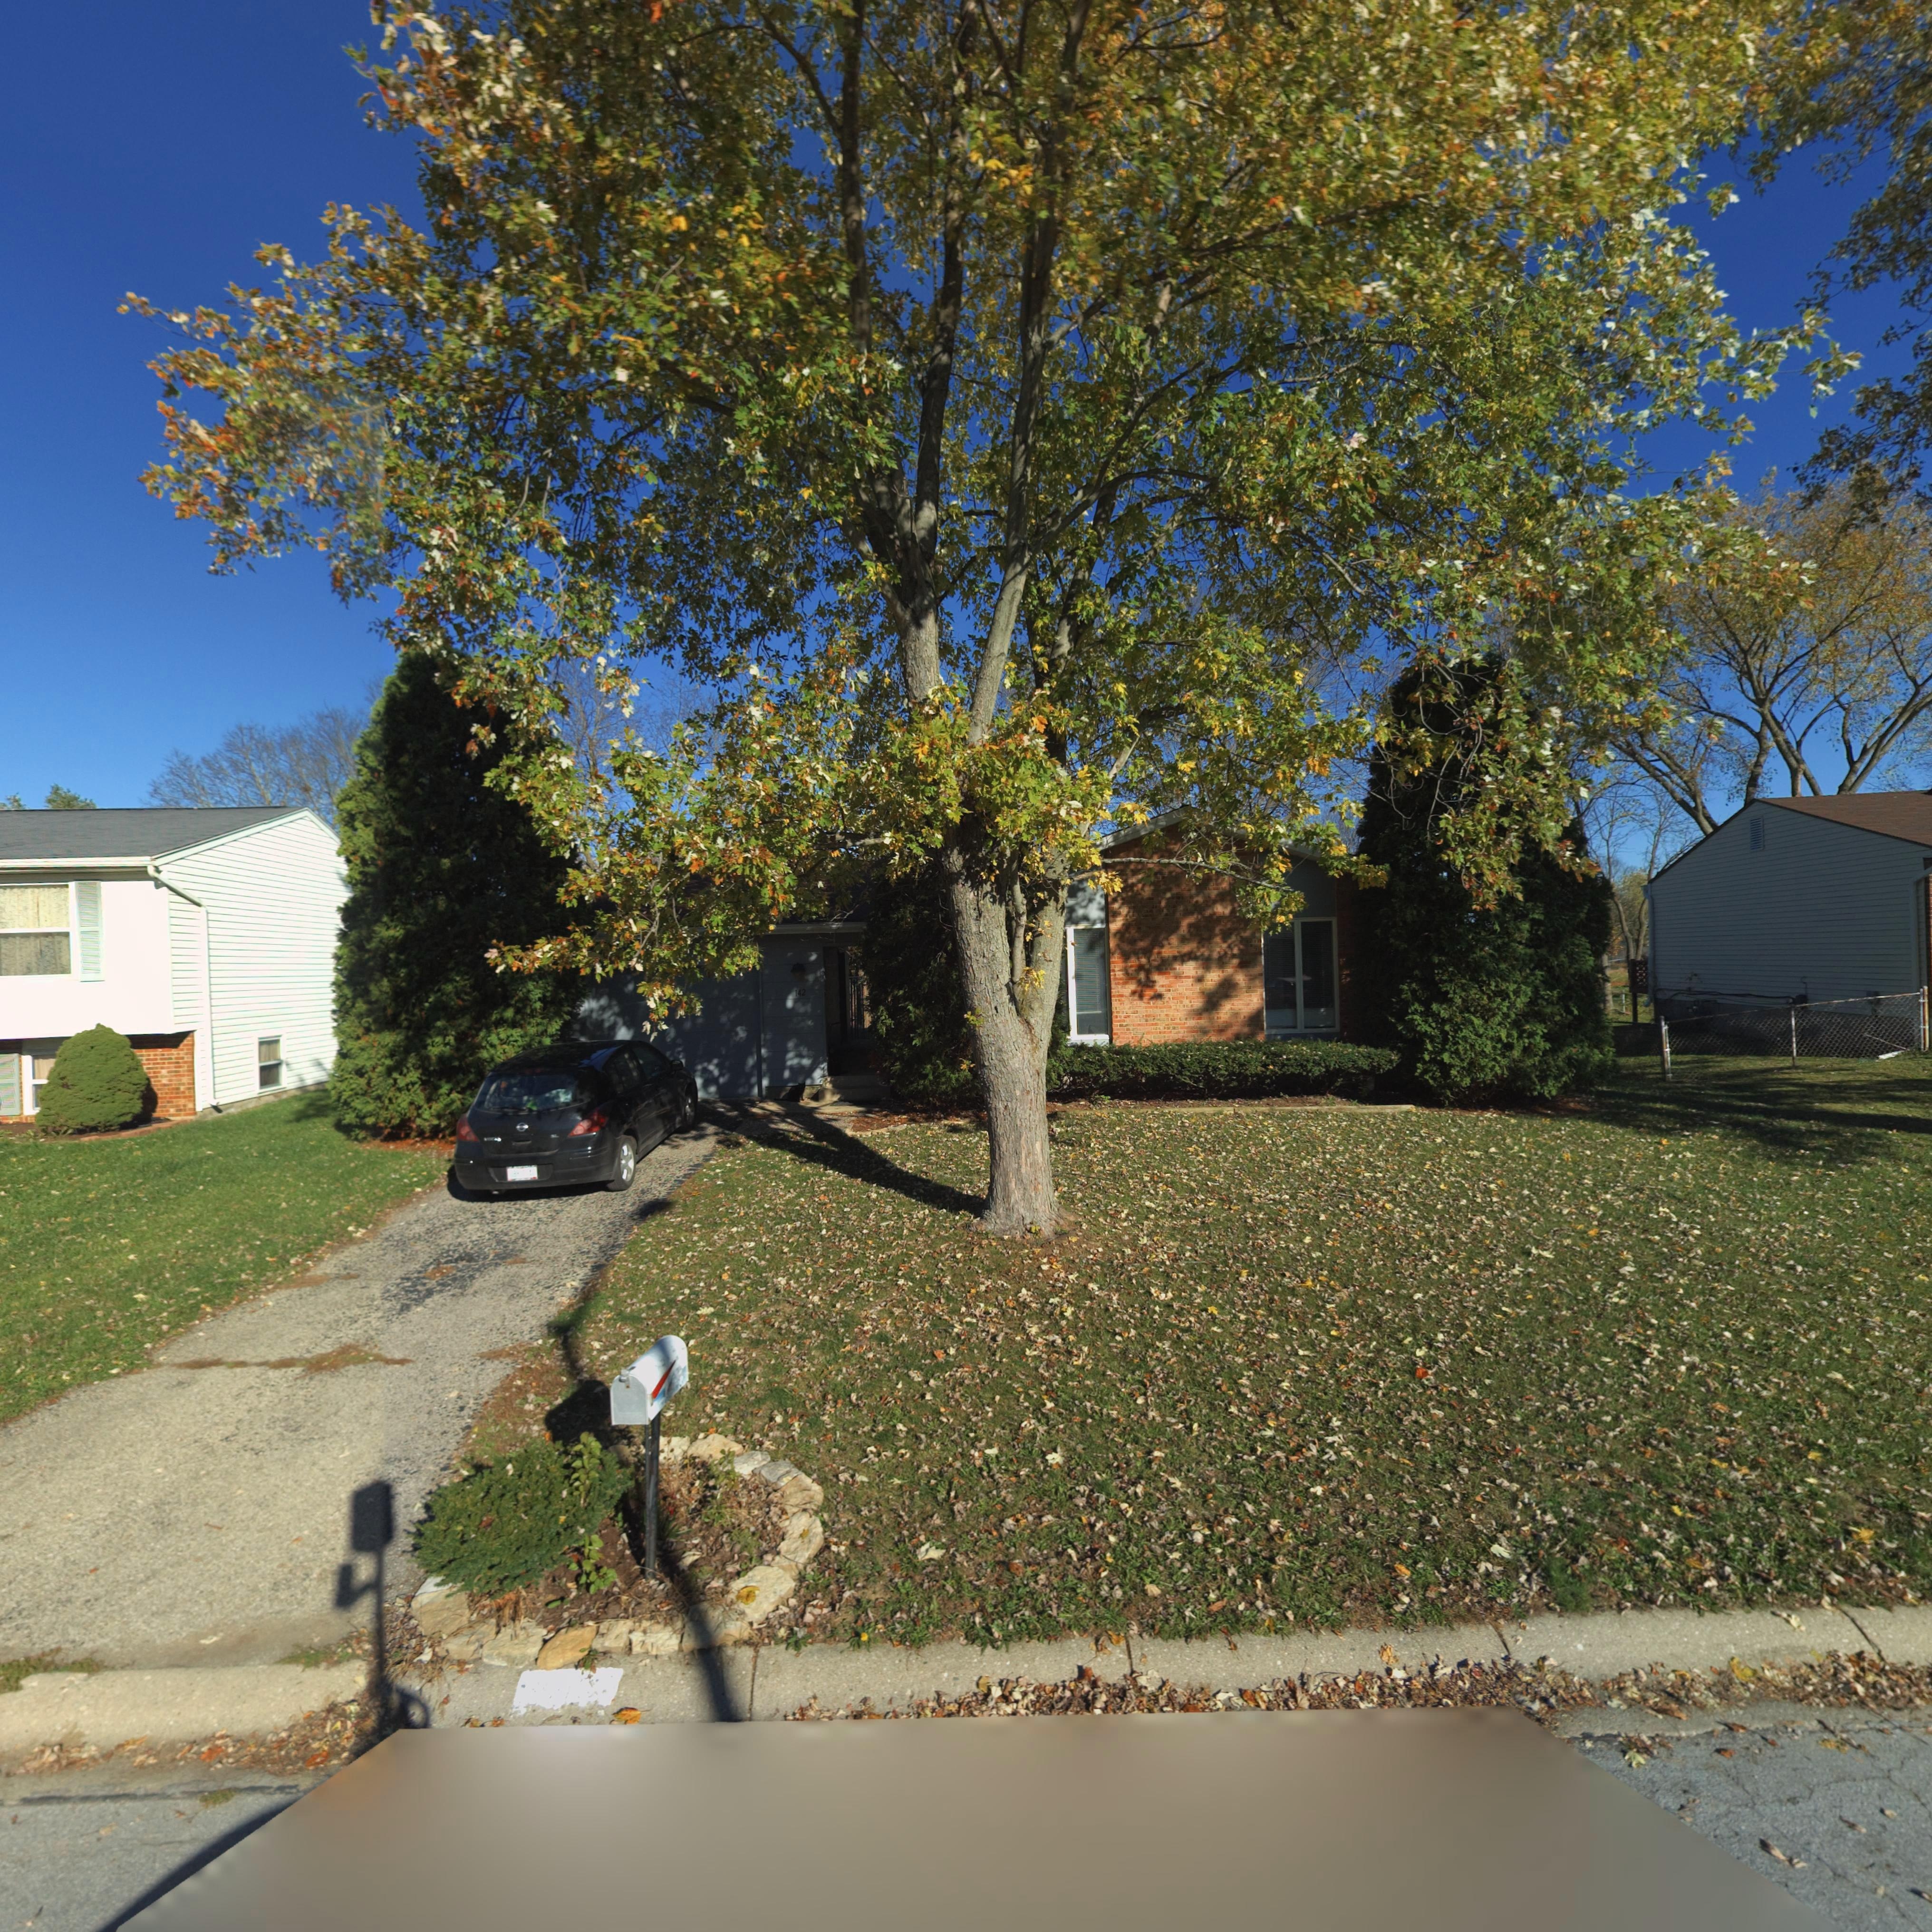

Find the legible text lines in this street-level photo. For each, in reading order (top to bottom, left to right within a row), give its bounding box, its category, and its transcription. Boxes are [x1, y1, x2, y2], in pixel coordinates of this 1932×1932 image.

[794, 988, 806, 997] StreetNumber: 142